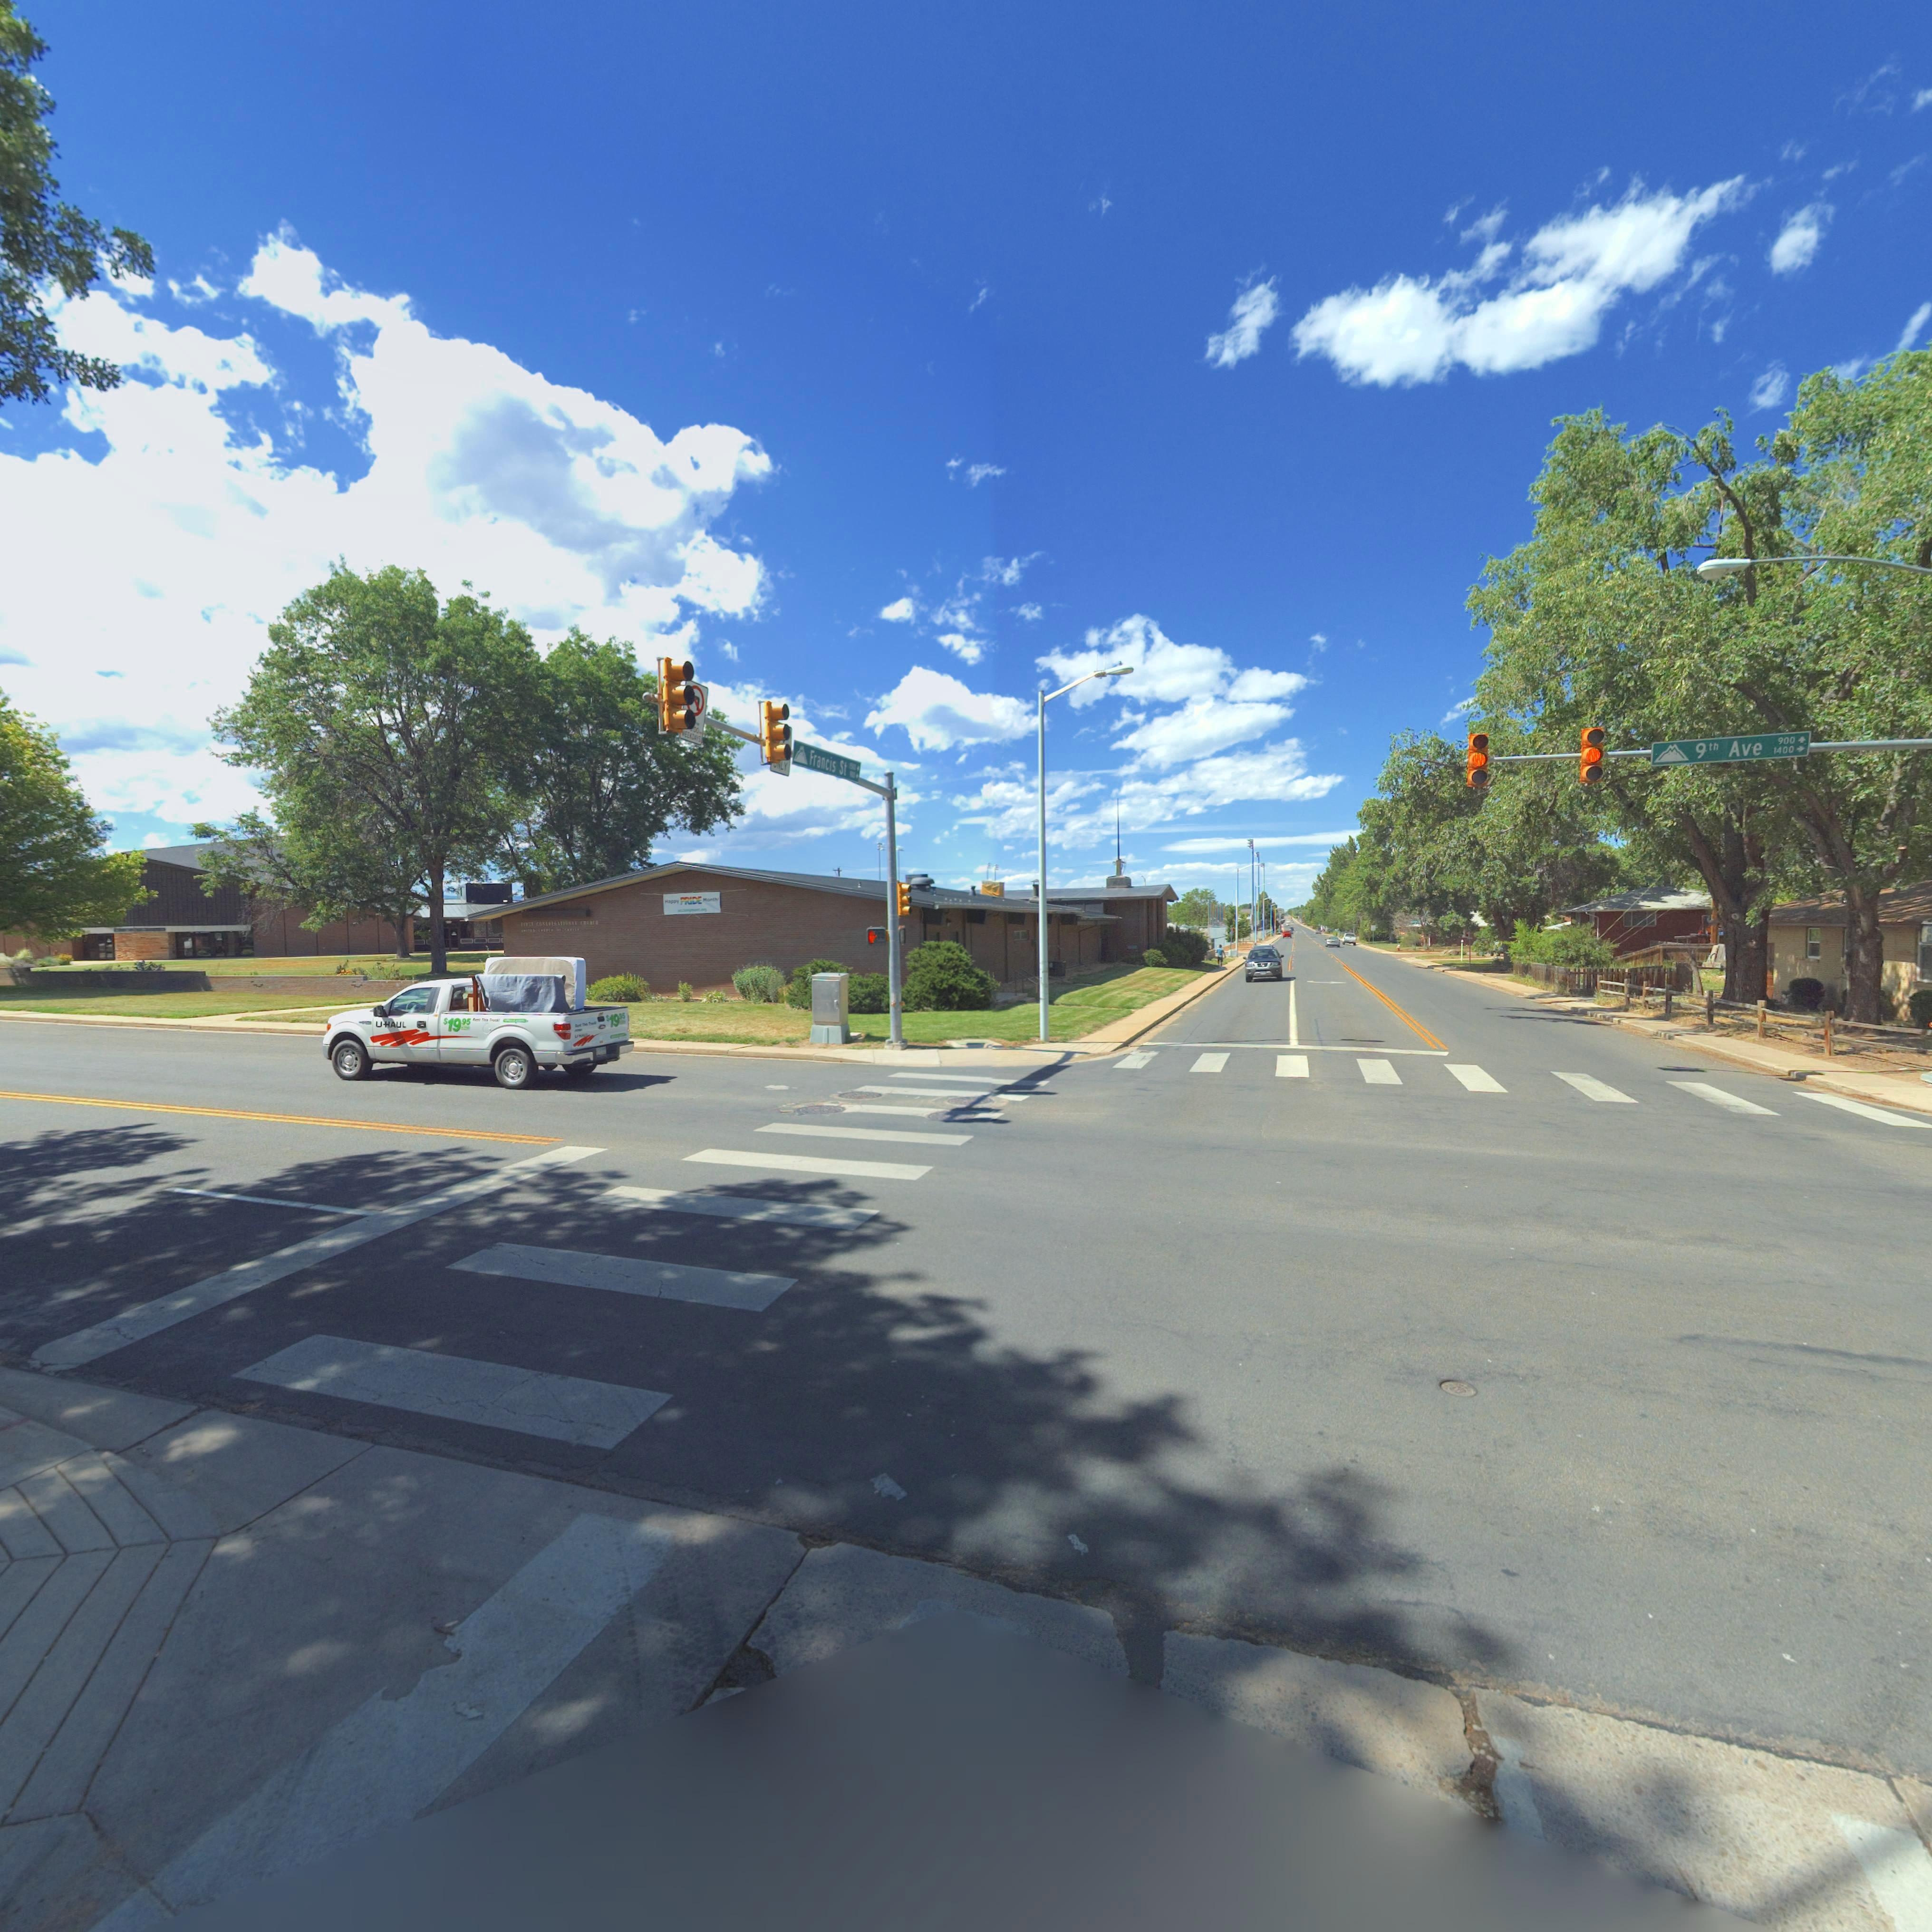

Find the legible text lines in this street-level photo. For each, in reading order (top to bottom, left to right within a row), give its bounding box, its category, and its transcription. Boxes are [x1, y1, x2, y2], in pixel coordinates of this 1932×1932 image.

[1777, 736, 1795, 745] StreetNumberRange: 900
[1695, 740, 1763, 759] StreetName: 9th Ave
[1773, 745, 1806, 755] StreetNumberRange: 1400->
[809, 749, 847, 776] StreetName: Francis St
[849, 762, 857, 770] StreetNumberRange: *5**
[520, 919, 599, 927] BusinessName: ***** **N***GAT***AL ****C*